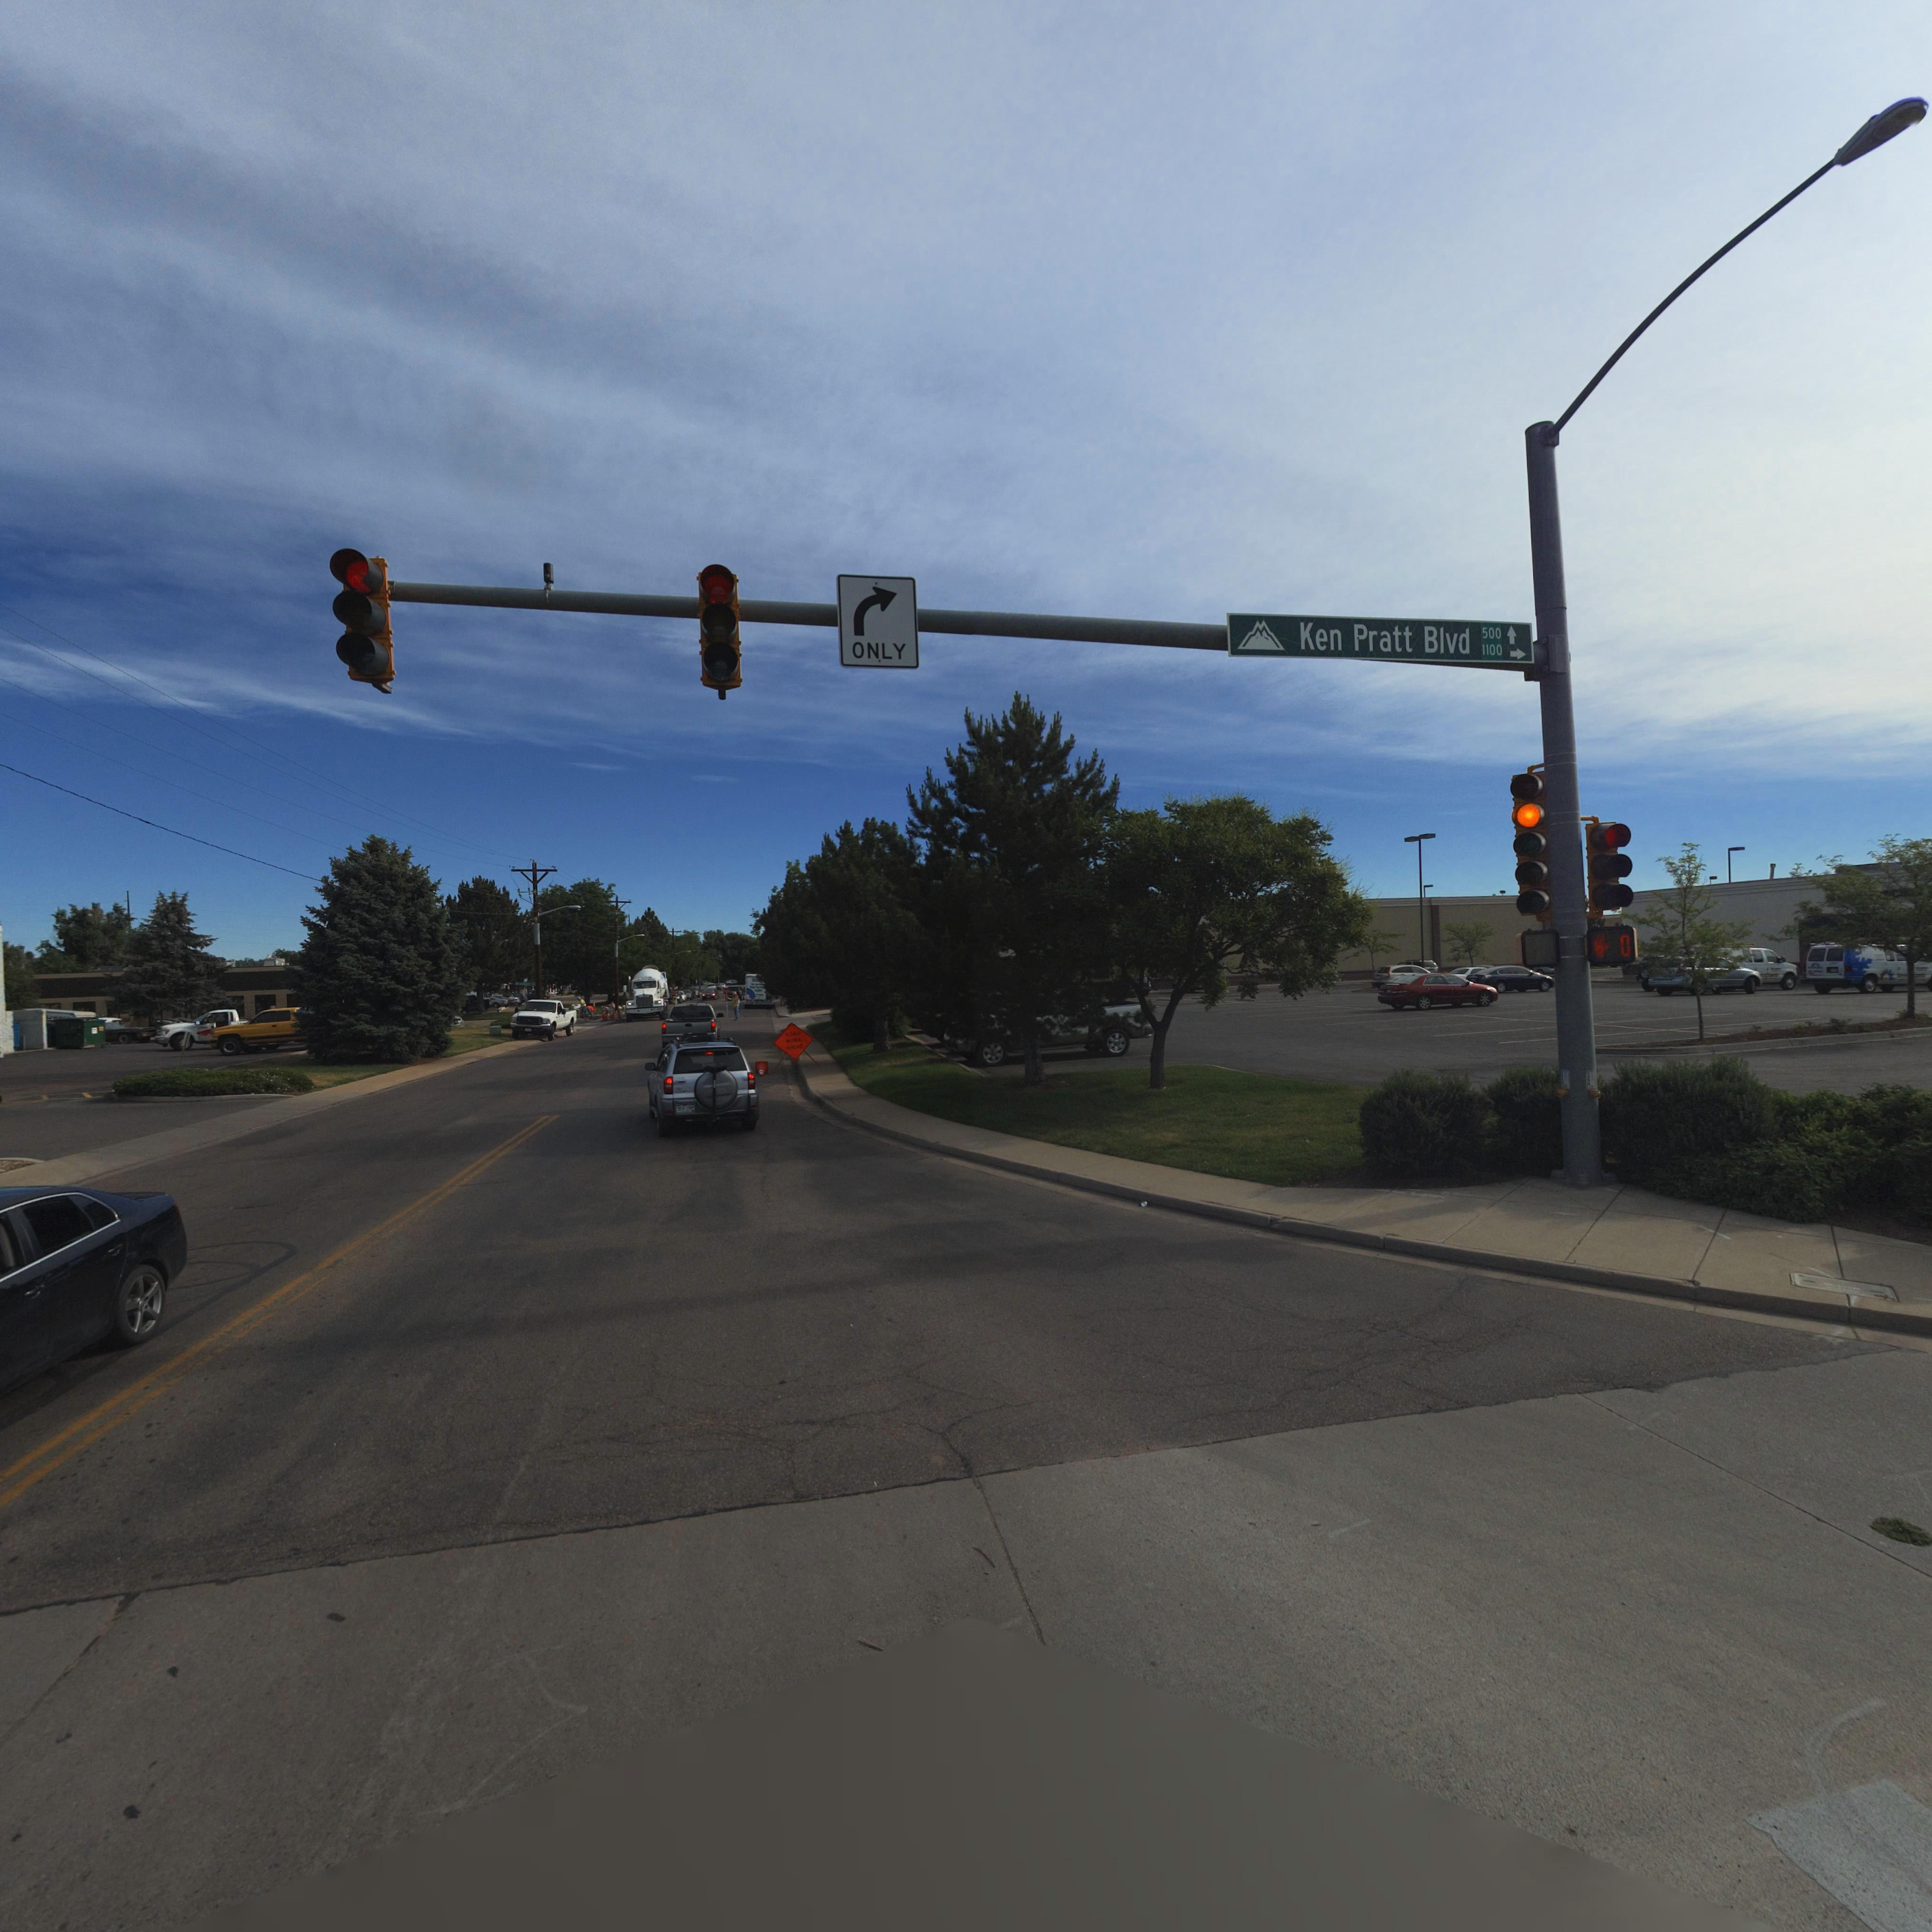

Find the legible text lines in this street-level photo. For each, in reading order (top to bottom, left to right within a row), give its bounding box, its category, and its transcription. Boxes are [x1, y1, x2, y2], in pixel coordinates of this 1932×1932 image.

[1299, 621, 1471, 655] StreetName: Ken Pratt Blvd
[1481, 626, 1502, 639] StreetNumberRange: 500
[1481, 643, 1527, 660] StreetNumberRange: 1100->